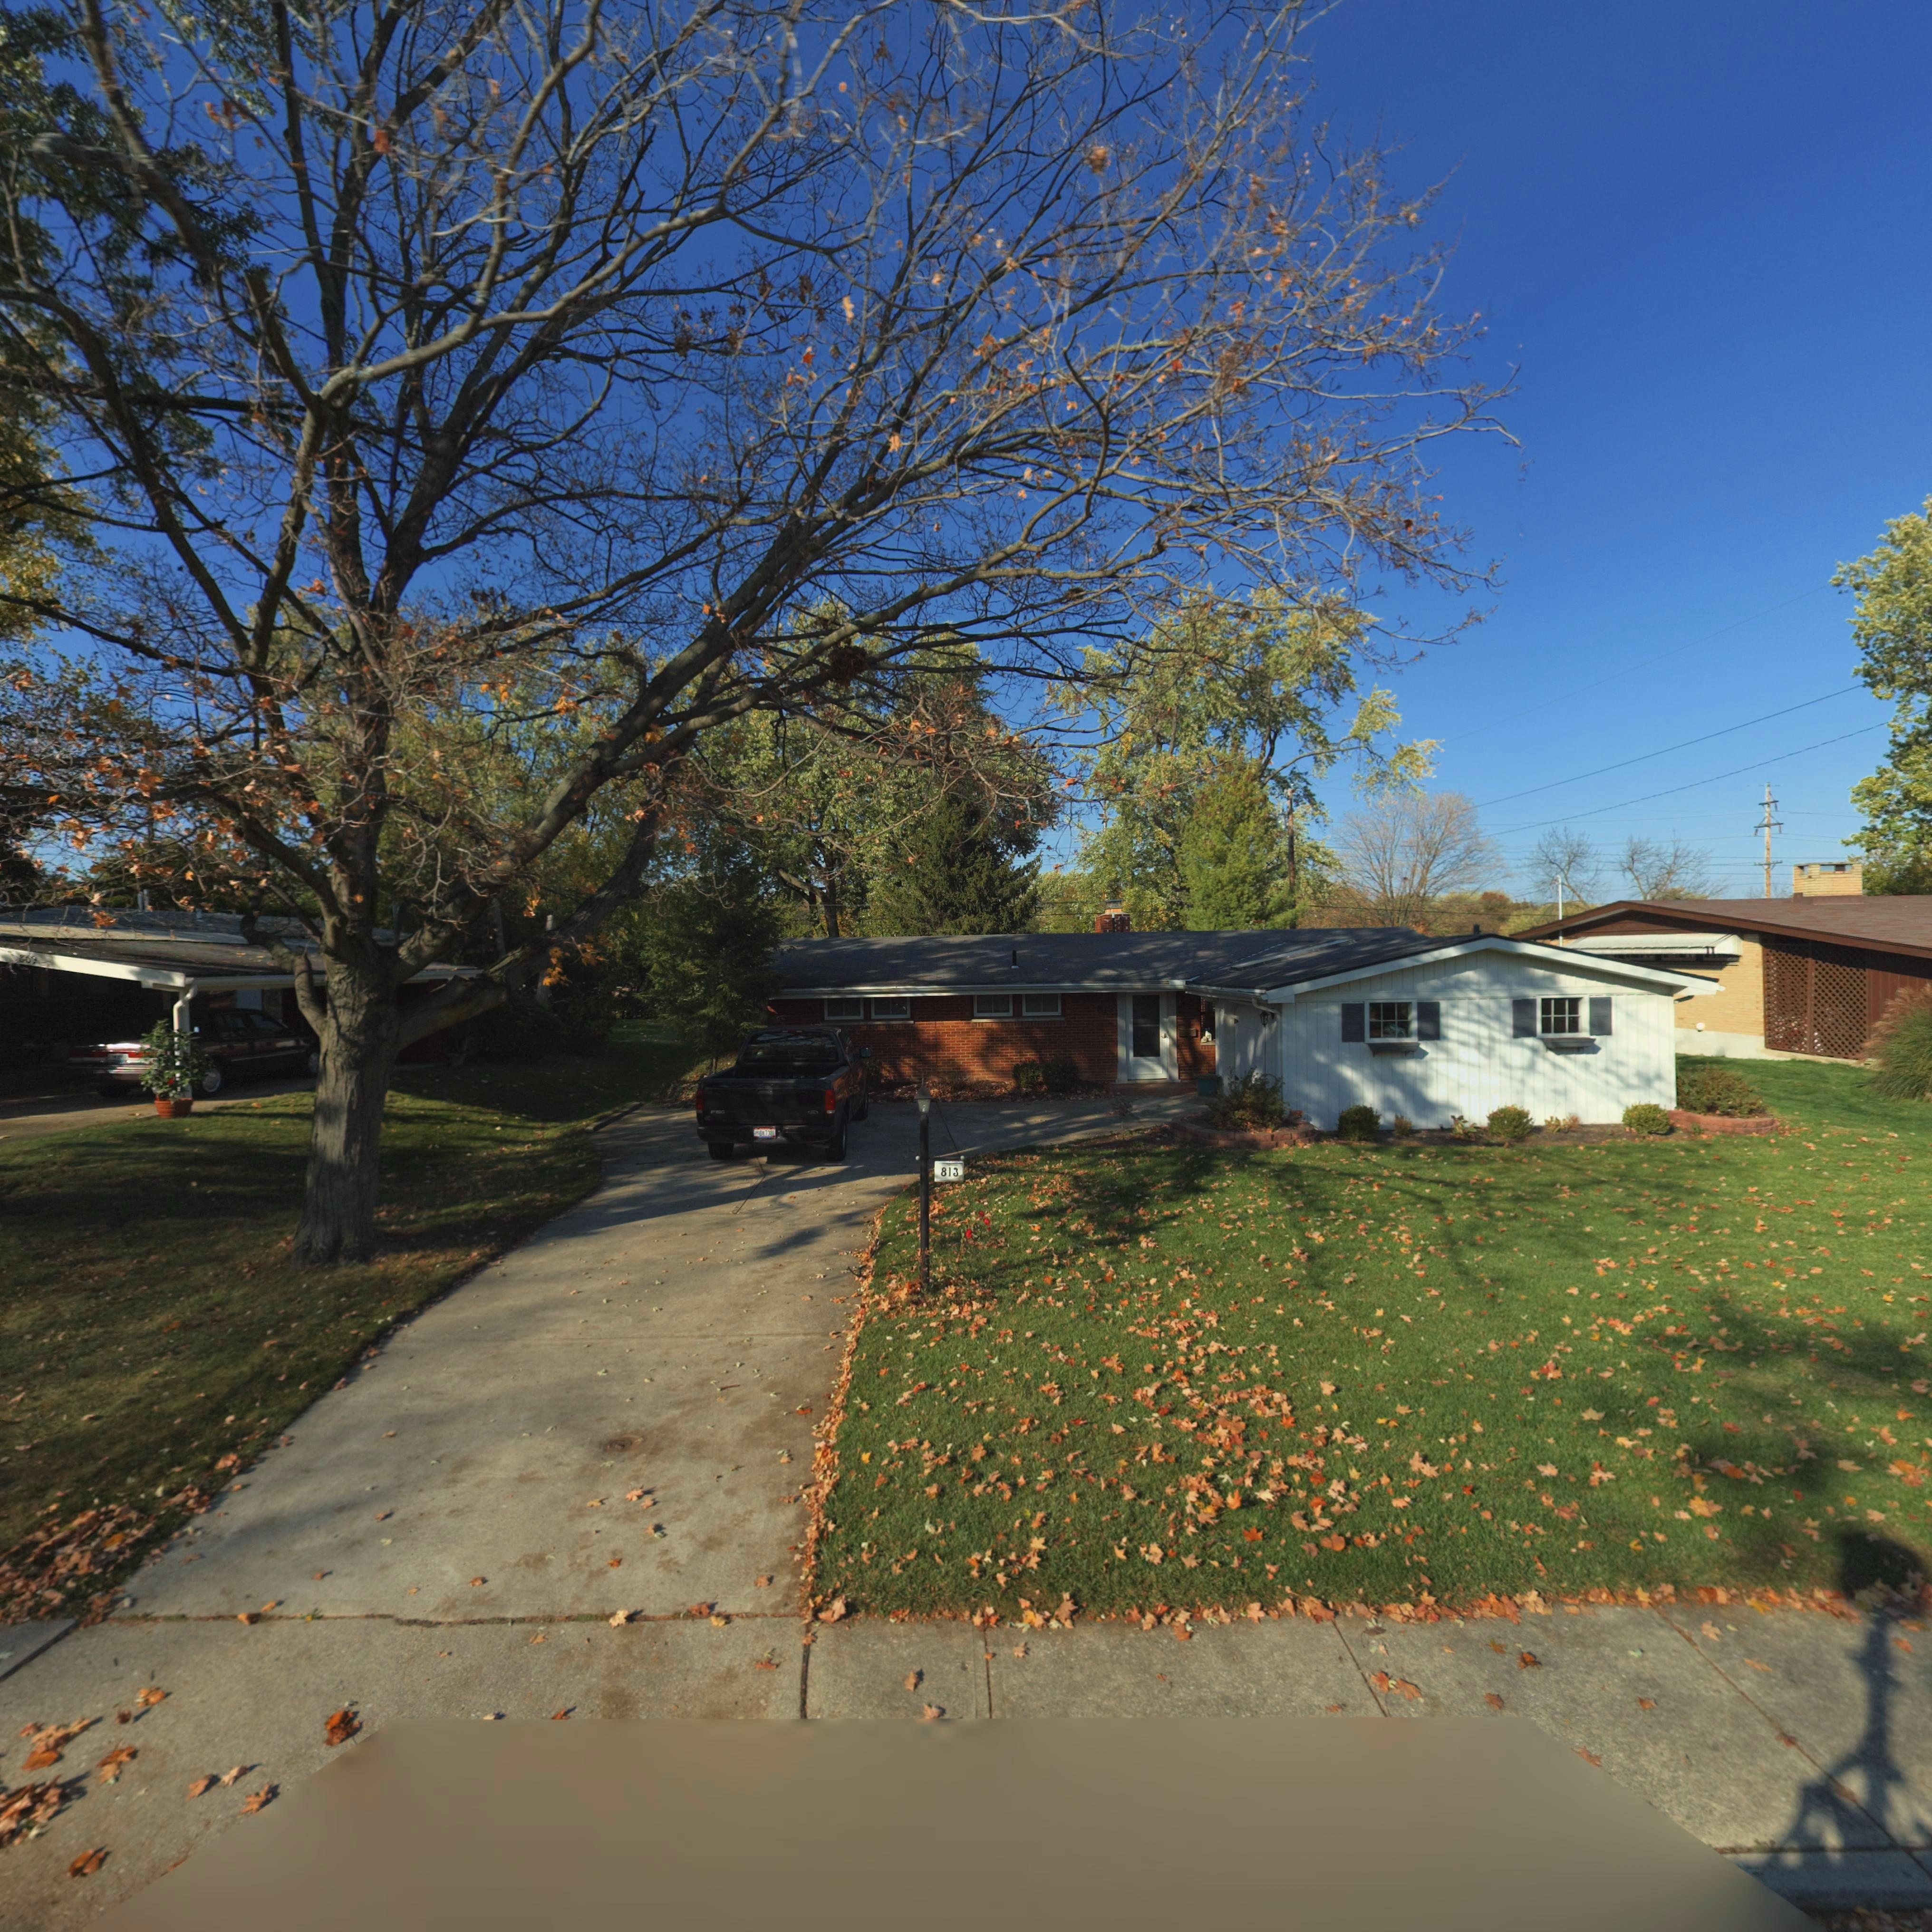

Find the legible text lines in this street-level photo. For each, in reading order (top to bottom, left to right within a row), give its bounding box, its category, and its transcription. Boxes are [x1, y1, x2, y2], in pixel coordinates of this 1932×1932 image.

[1095, 1004, 1114, 1014] StreetNumber: *1*
[940, 1166, 959, 1178] StreetNumber: 813